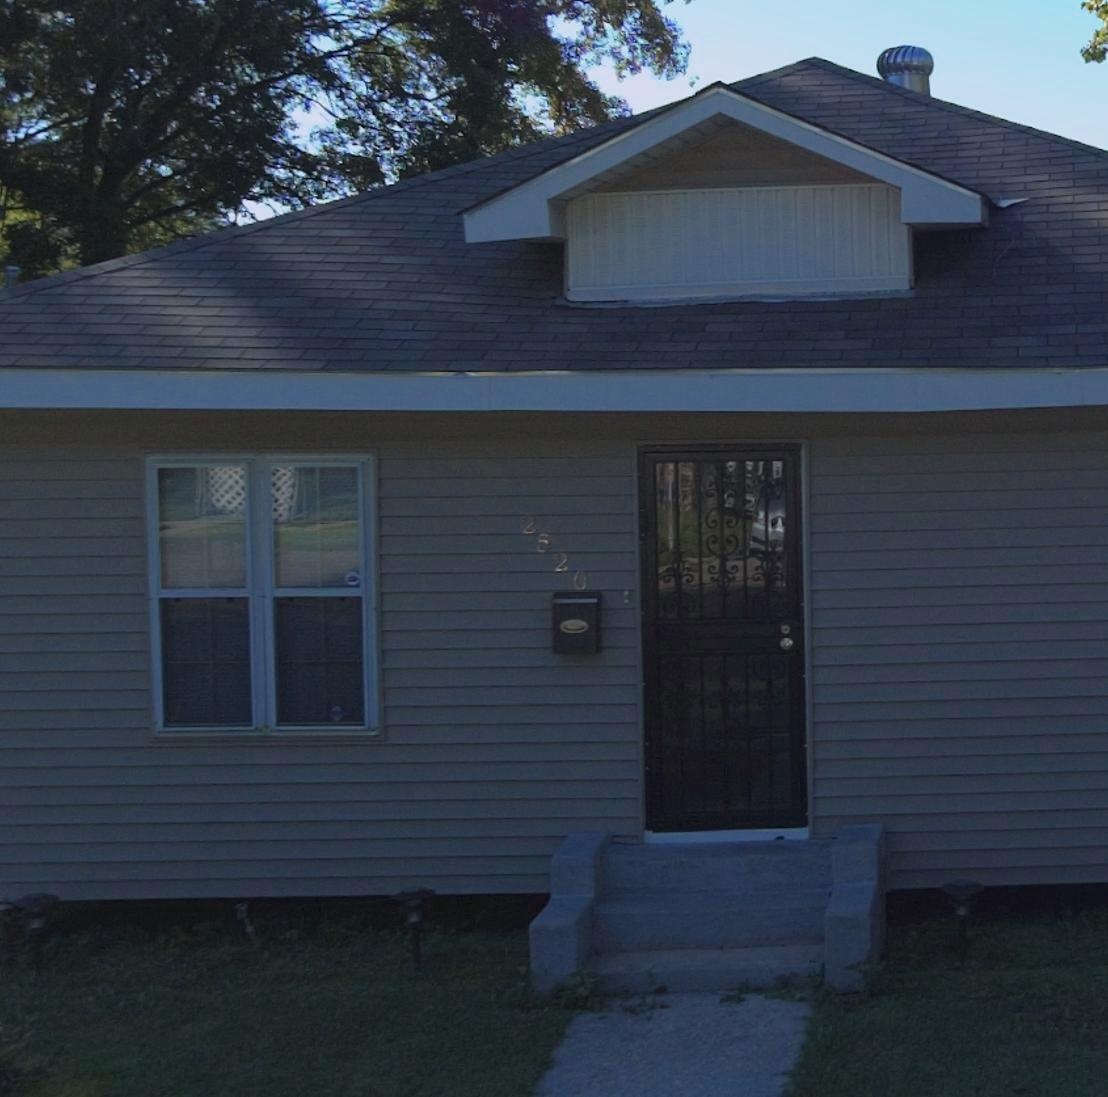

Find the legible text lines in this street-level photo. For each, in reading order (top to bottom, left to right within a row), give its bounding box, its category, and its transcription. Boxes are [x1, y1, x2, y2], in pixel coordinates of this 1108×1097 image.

[519, 511, 590, 592] StreetNumber: 2520